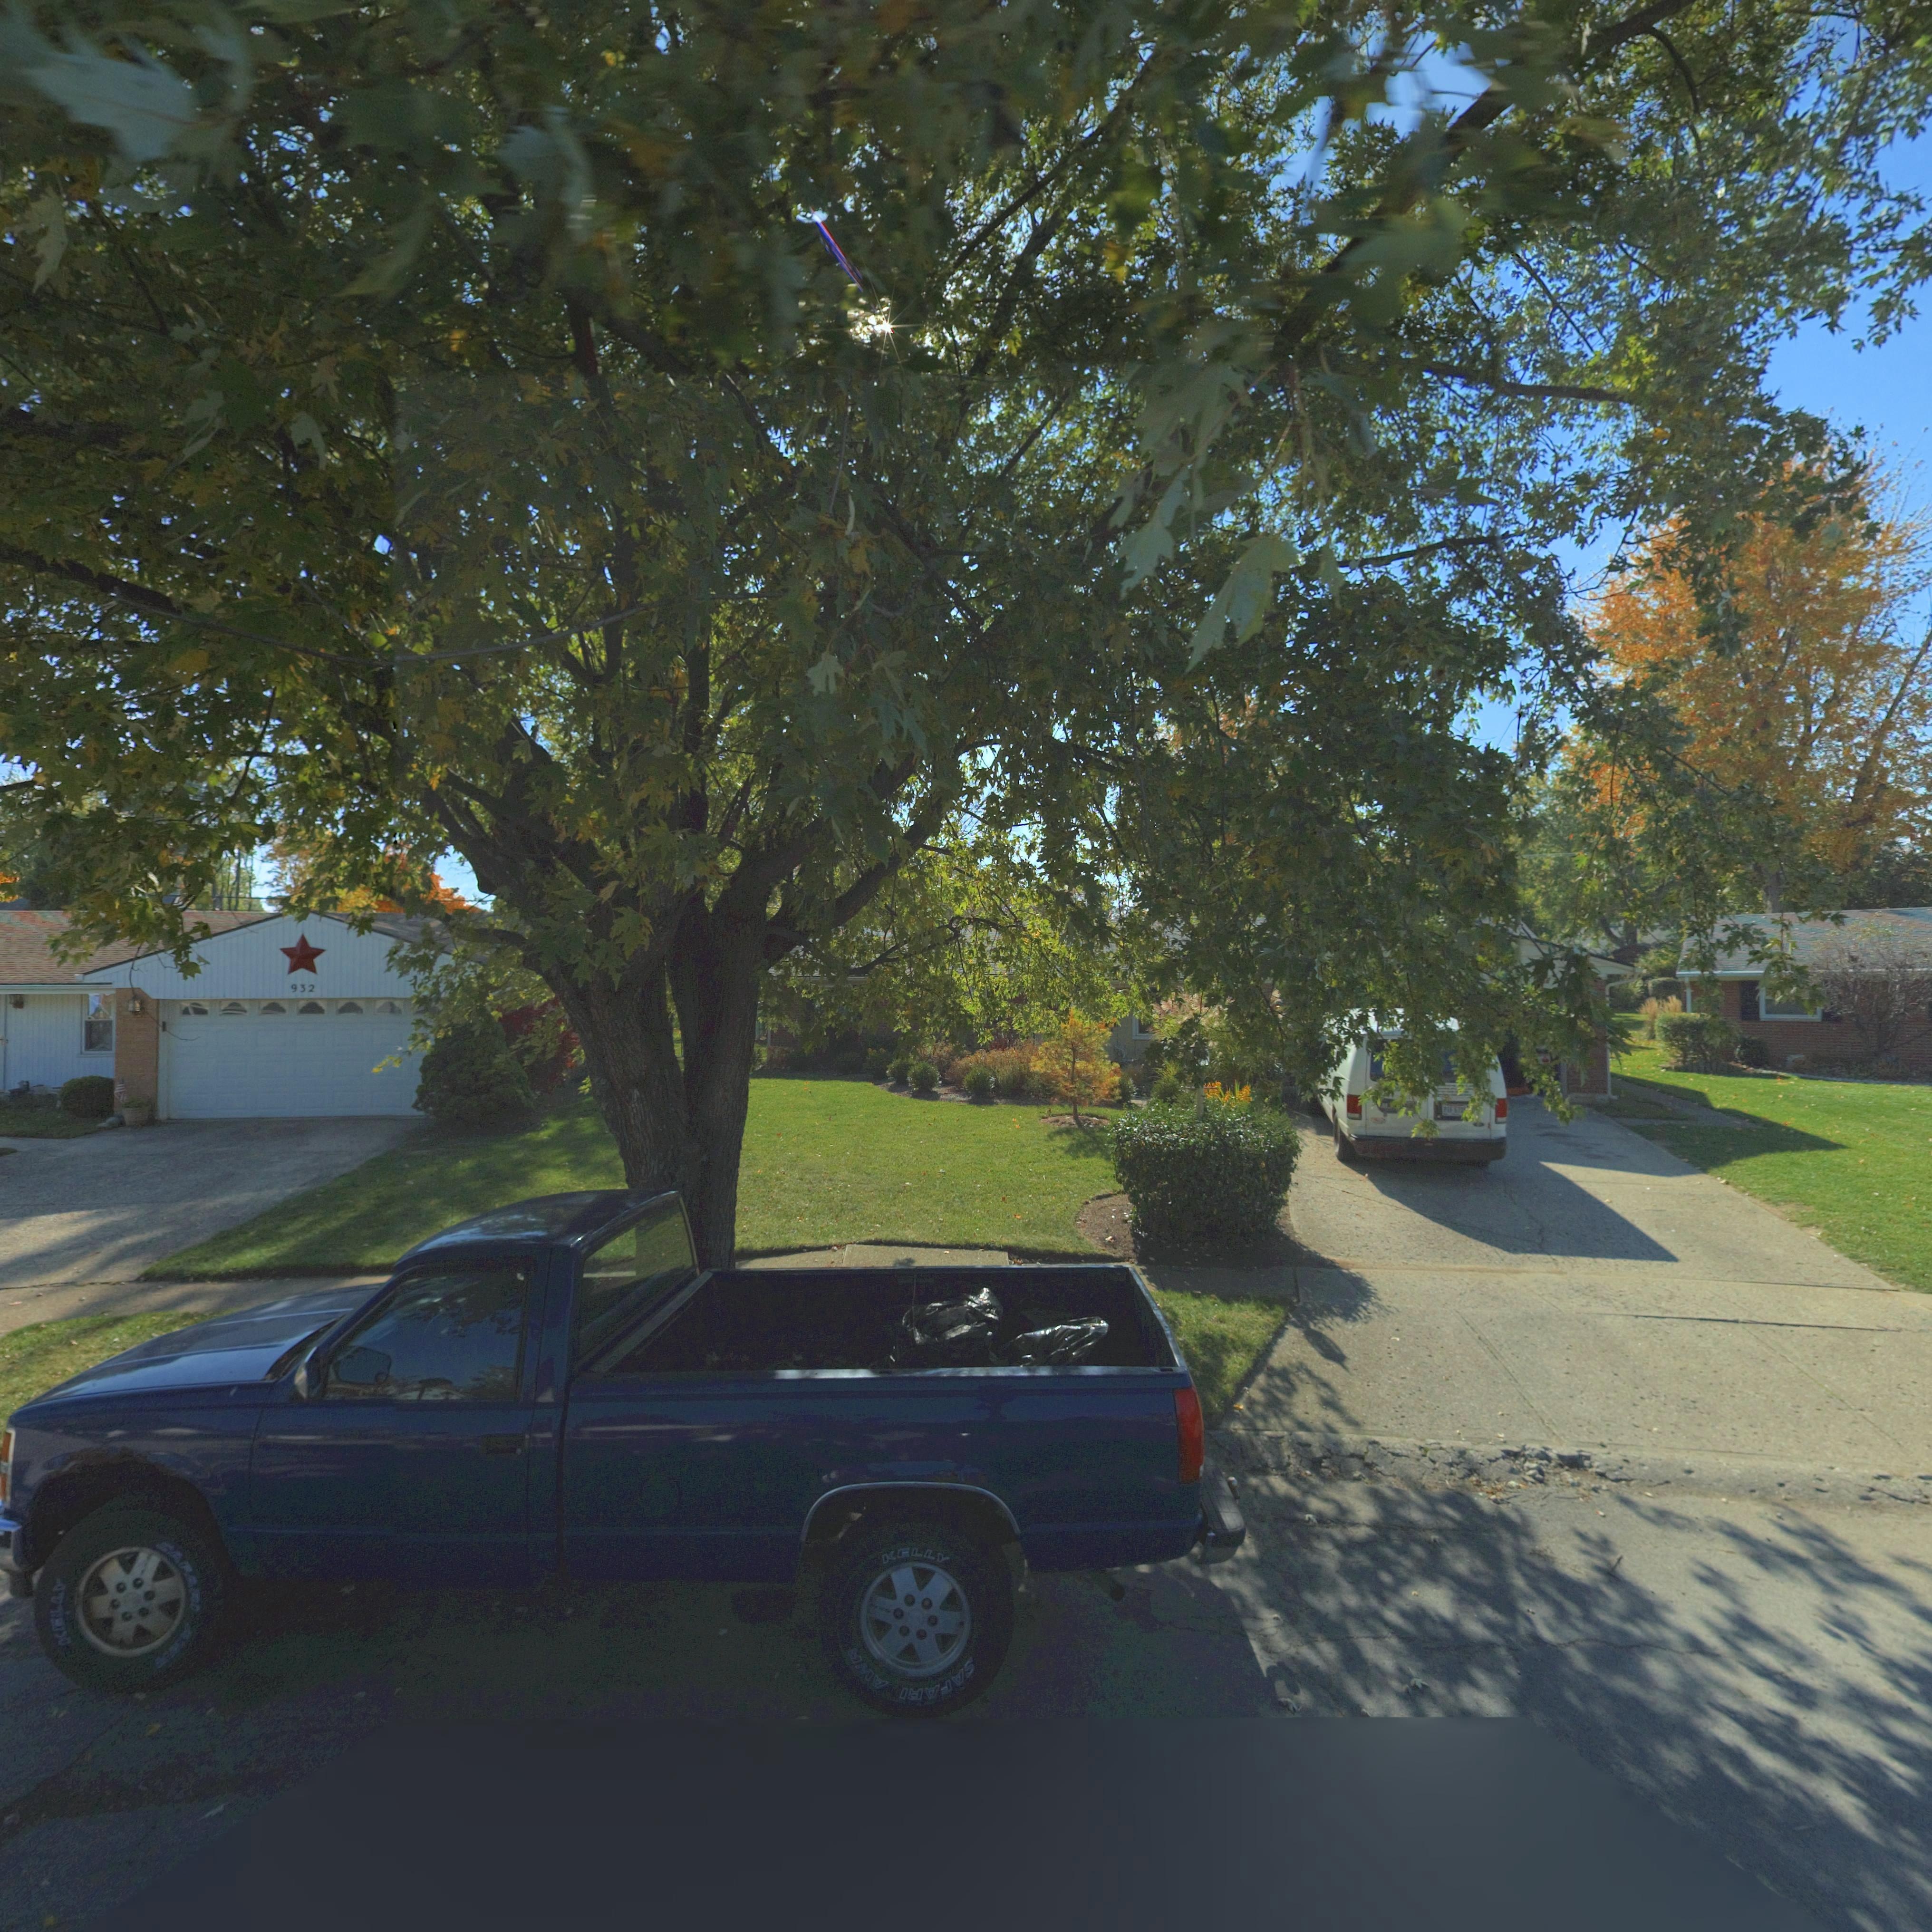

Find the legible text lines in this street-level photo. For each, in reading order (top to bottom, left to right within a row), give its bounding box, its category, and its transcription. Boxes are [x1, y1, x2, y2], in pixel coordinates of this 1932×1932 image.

[290, 982, 316, 994] StreetNumber: 932